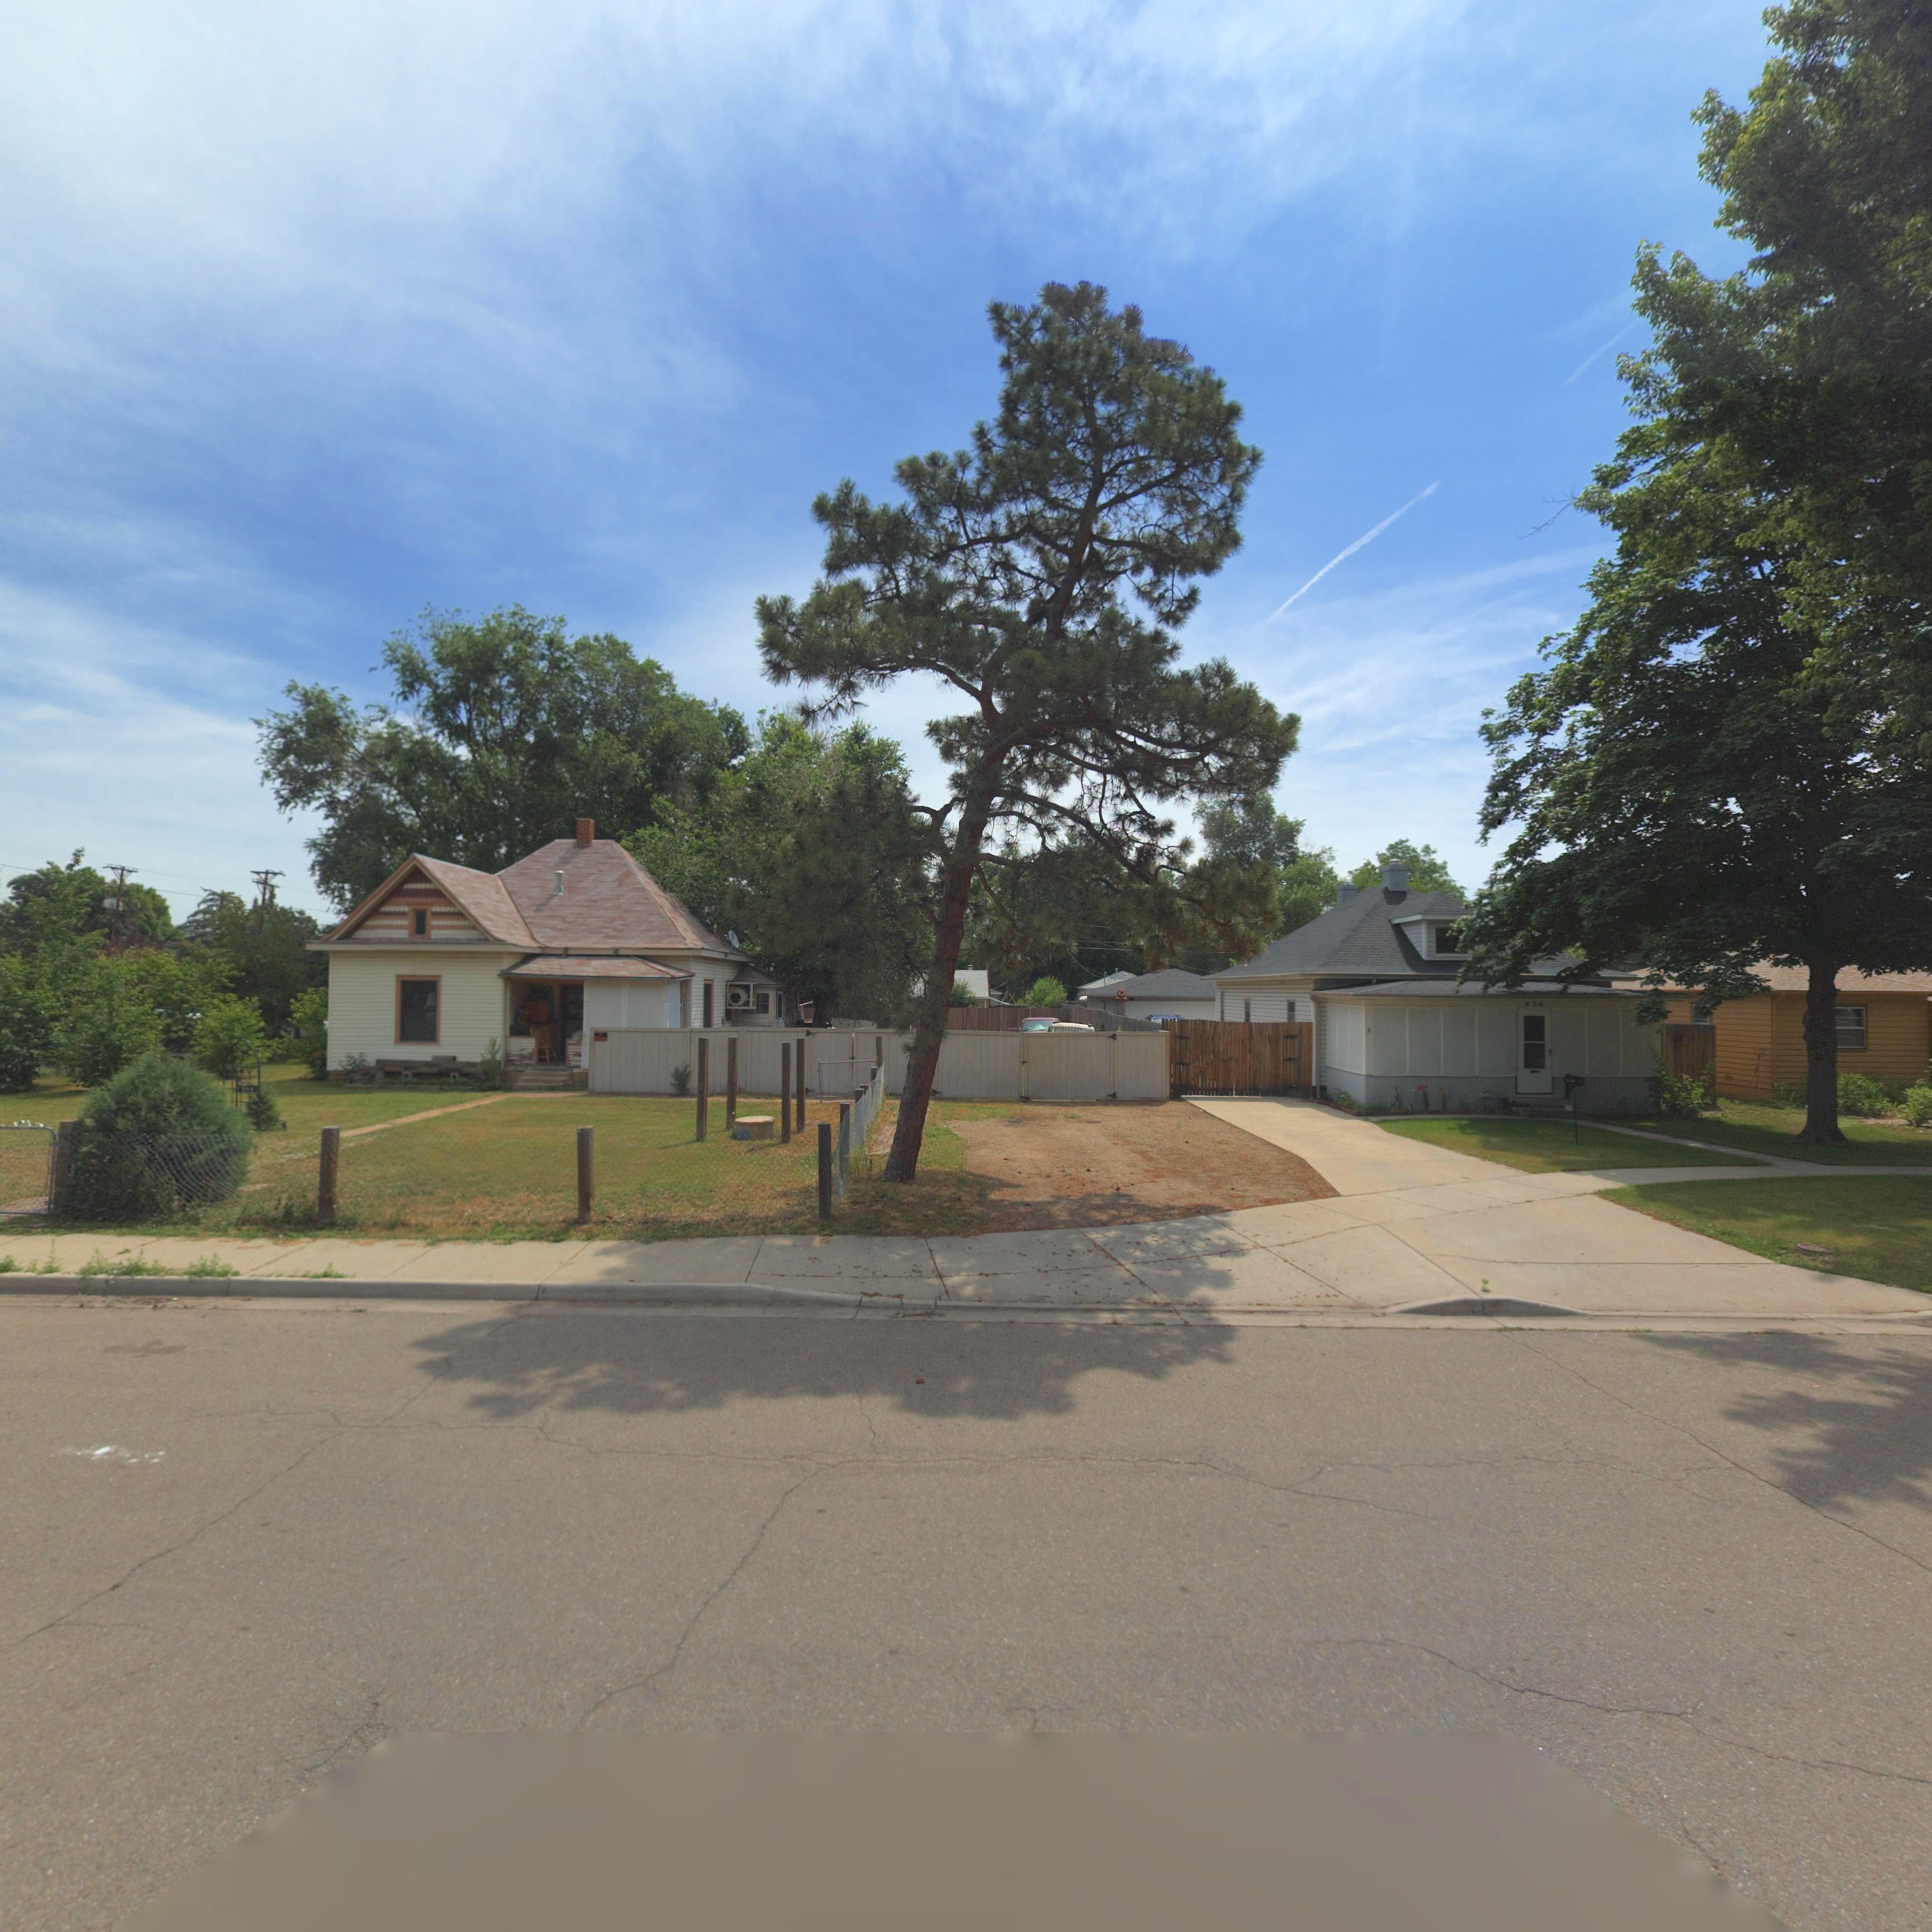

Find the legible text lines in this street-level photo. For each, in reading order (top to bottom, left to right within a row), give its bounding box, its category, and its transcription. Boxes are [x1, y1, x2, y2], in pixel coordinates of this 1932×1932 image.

[1525, 1000, 1544, 1007] StreetNumber: *5*